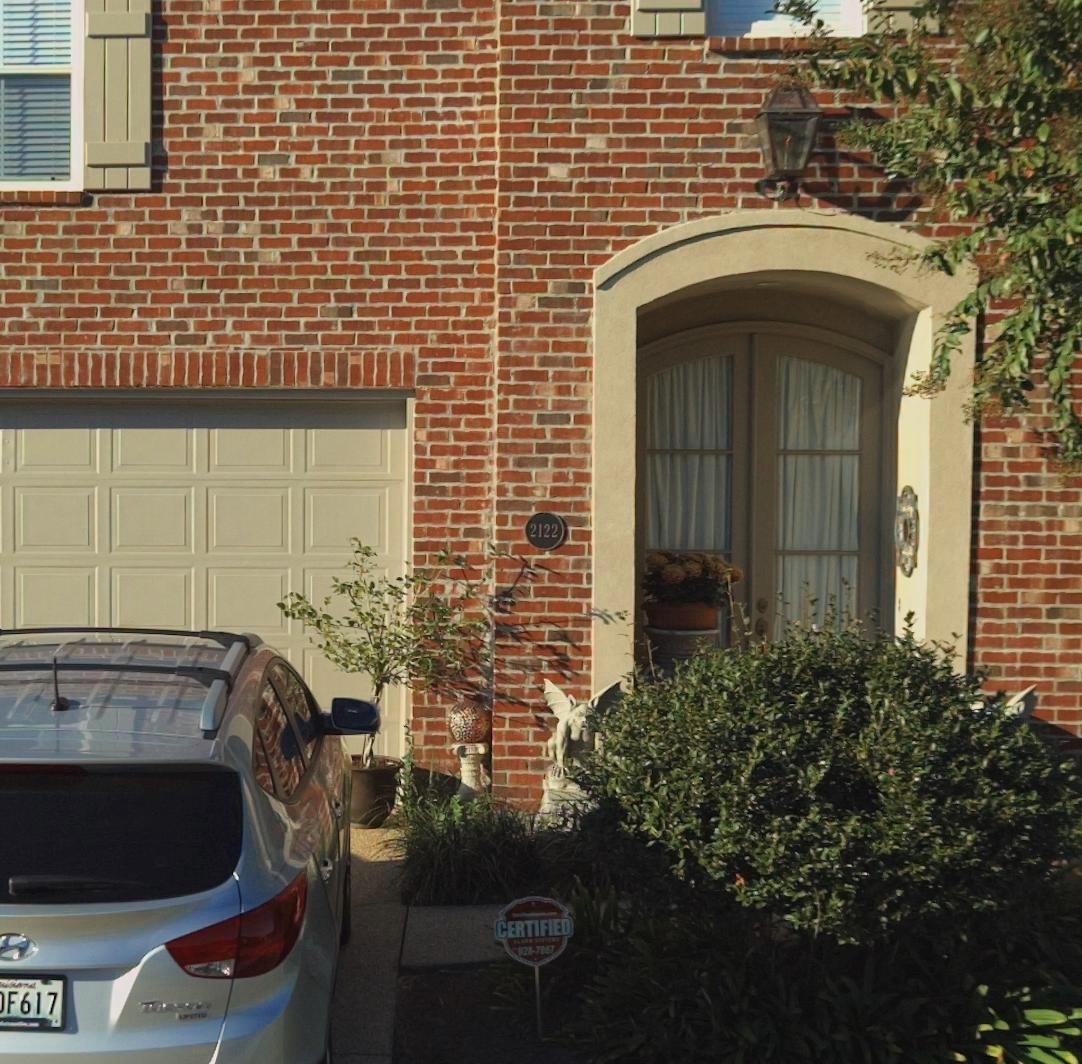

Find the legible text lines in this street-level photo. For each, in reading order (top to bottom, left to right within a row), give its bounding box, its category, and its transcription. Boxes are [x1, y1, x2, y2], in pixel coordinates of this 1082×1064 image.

[528, 521, 561, 540] StreetNumber: 2122
[491, 916, 577, 941] None: CERTIFIED
[4, 988, 62, 1018] None: F617